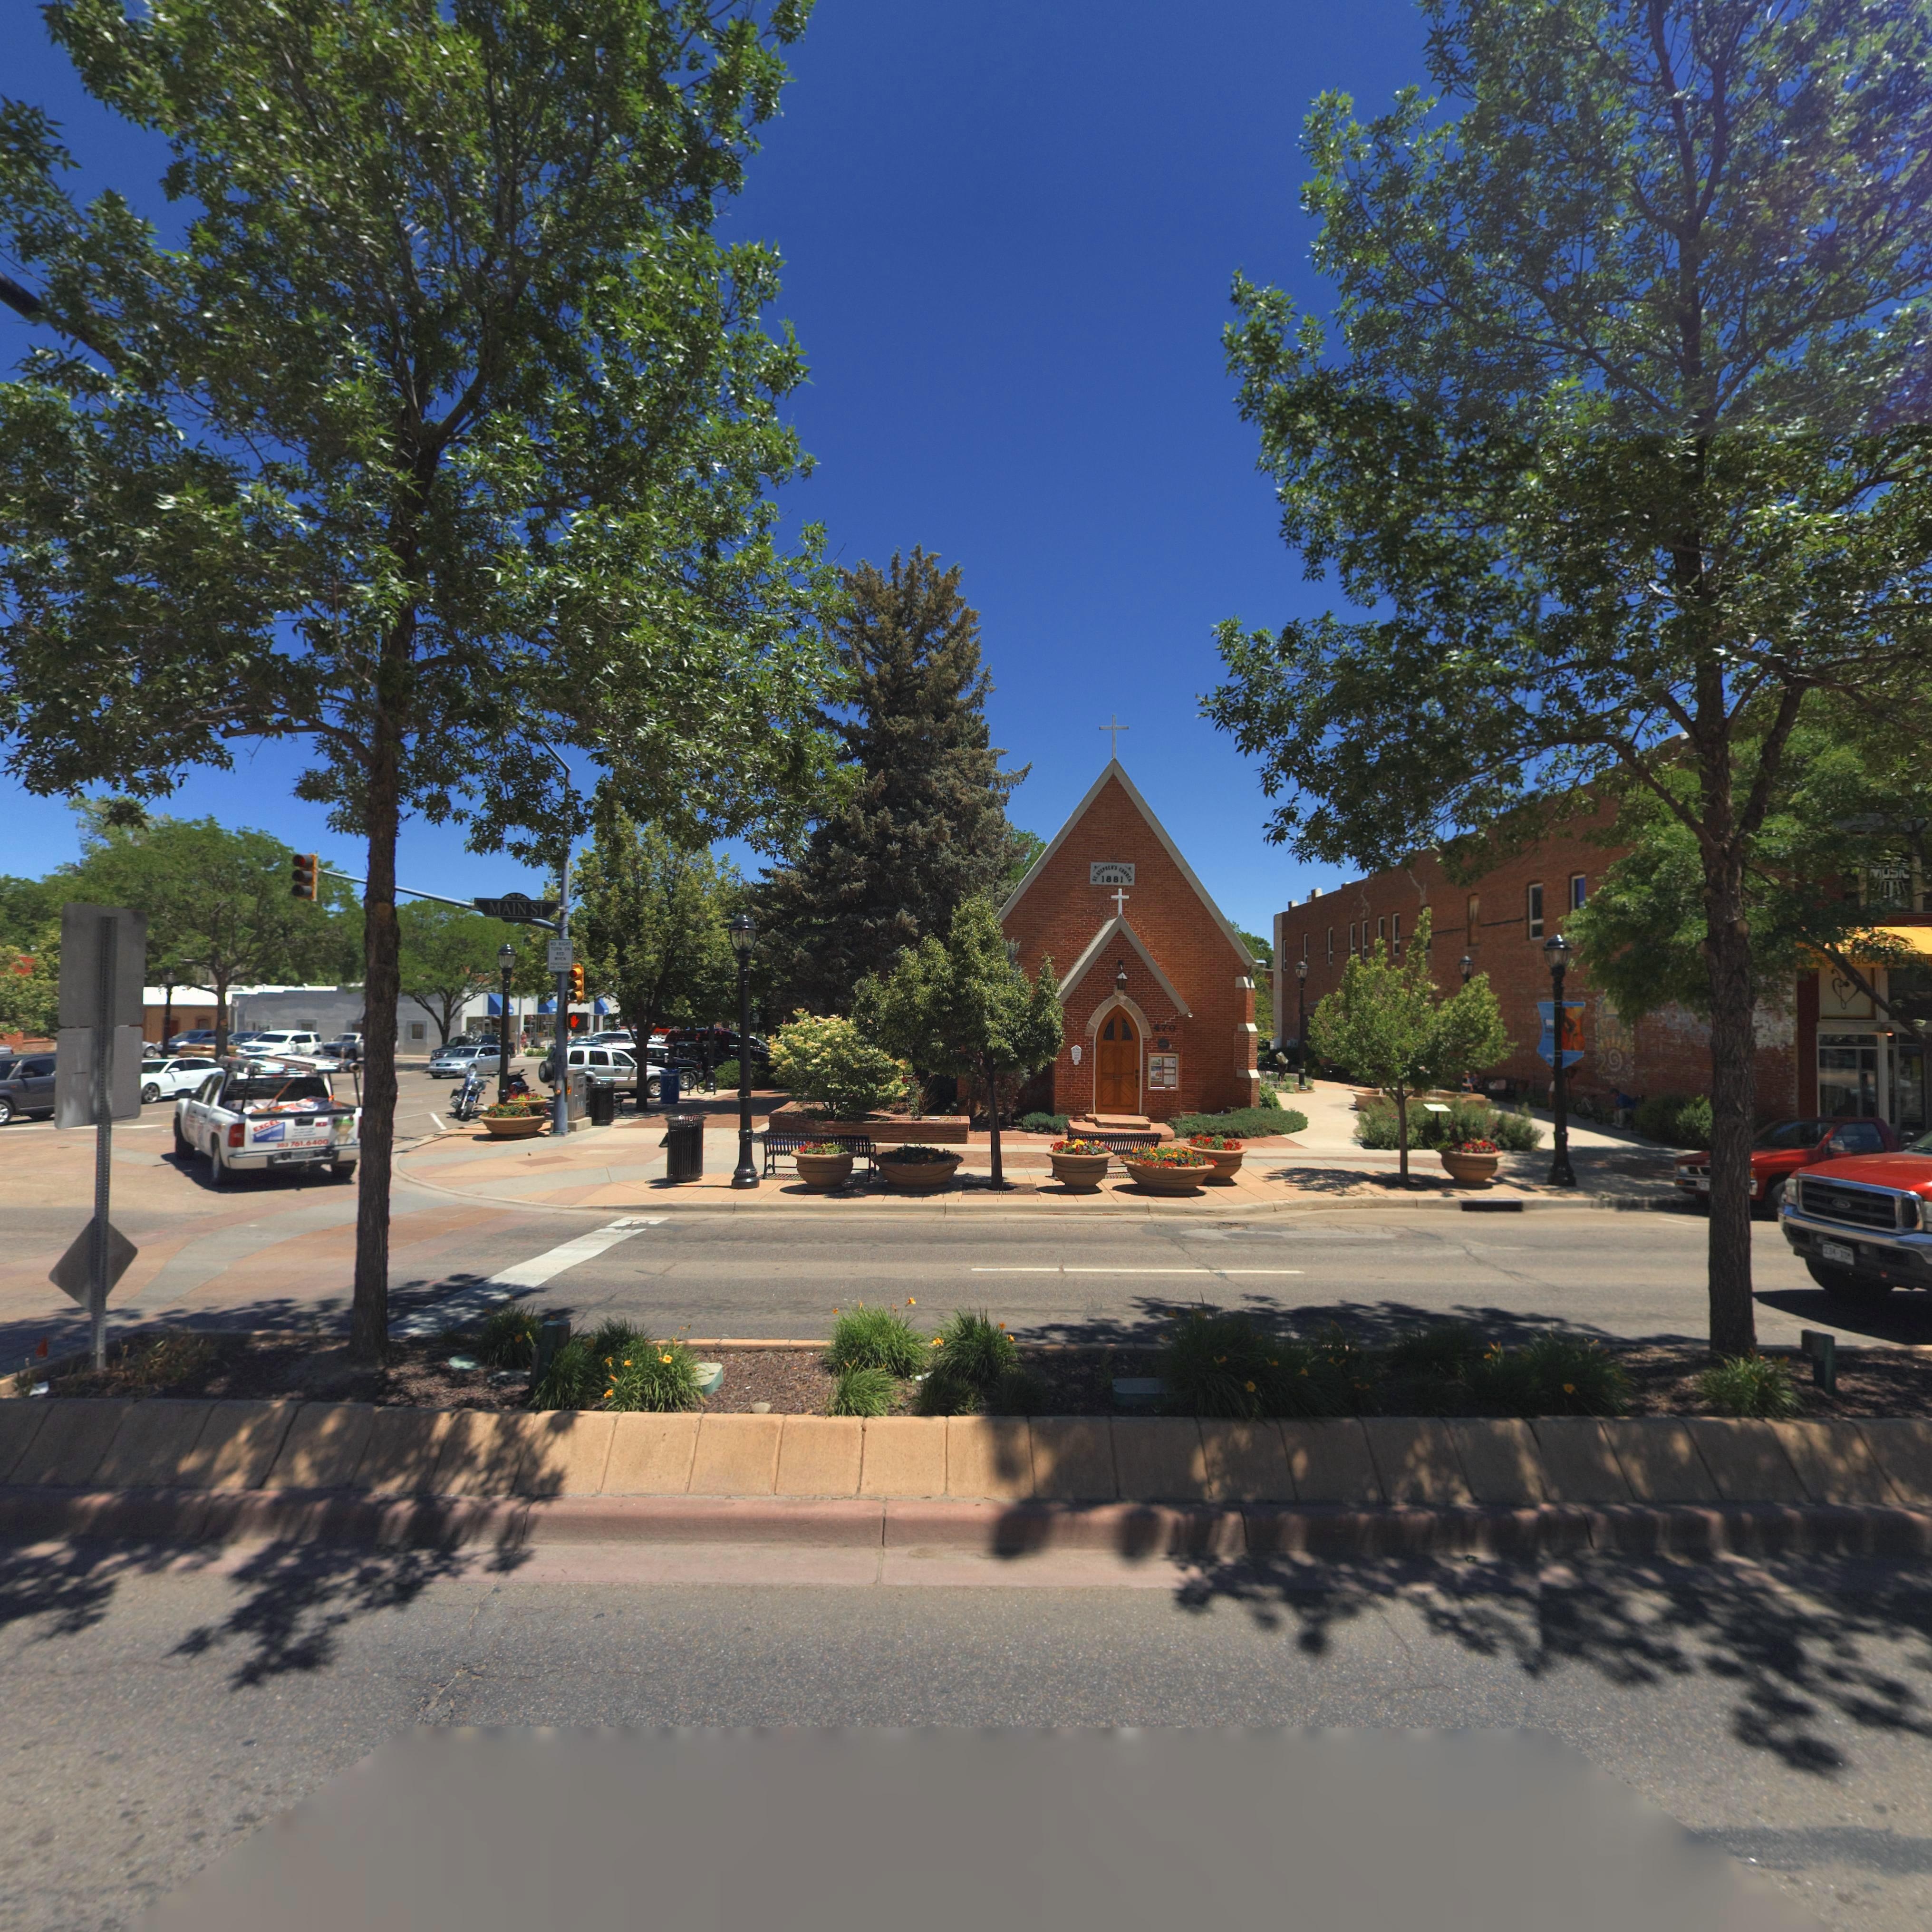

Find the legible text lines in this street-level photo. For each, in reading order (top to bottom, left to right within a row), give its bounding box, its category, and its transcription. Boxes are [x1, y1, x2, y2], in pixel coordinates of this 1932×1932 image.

[488, 900, 546, 916] StreetName: MAIN ST
[1153, 1023, 1176, 1032] StreetNumber: 470